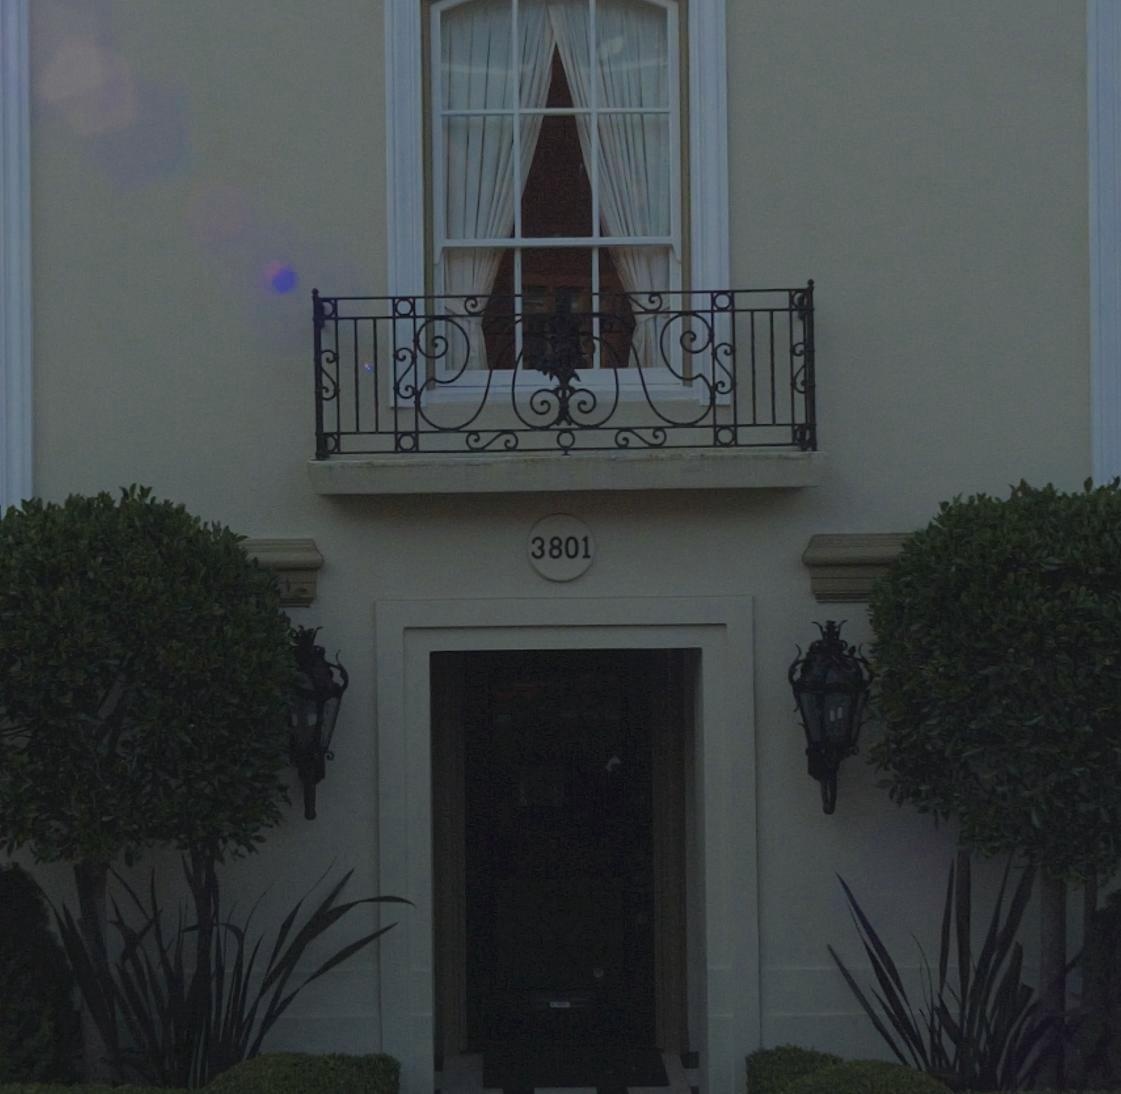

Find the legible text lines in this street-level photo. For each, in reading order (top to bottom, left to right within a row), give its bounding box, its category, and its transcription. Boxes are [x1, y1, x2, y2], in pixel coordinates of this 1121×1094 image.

[529, 533, 593, 561] StreetNumber: 3801